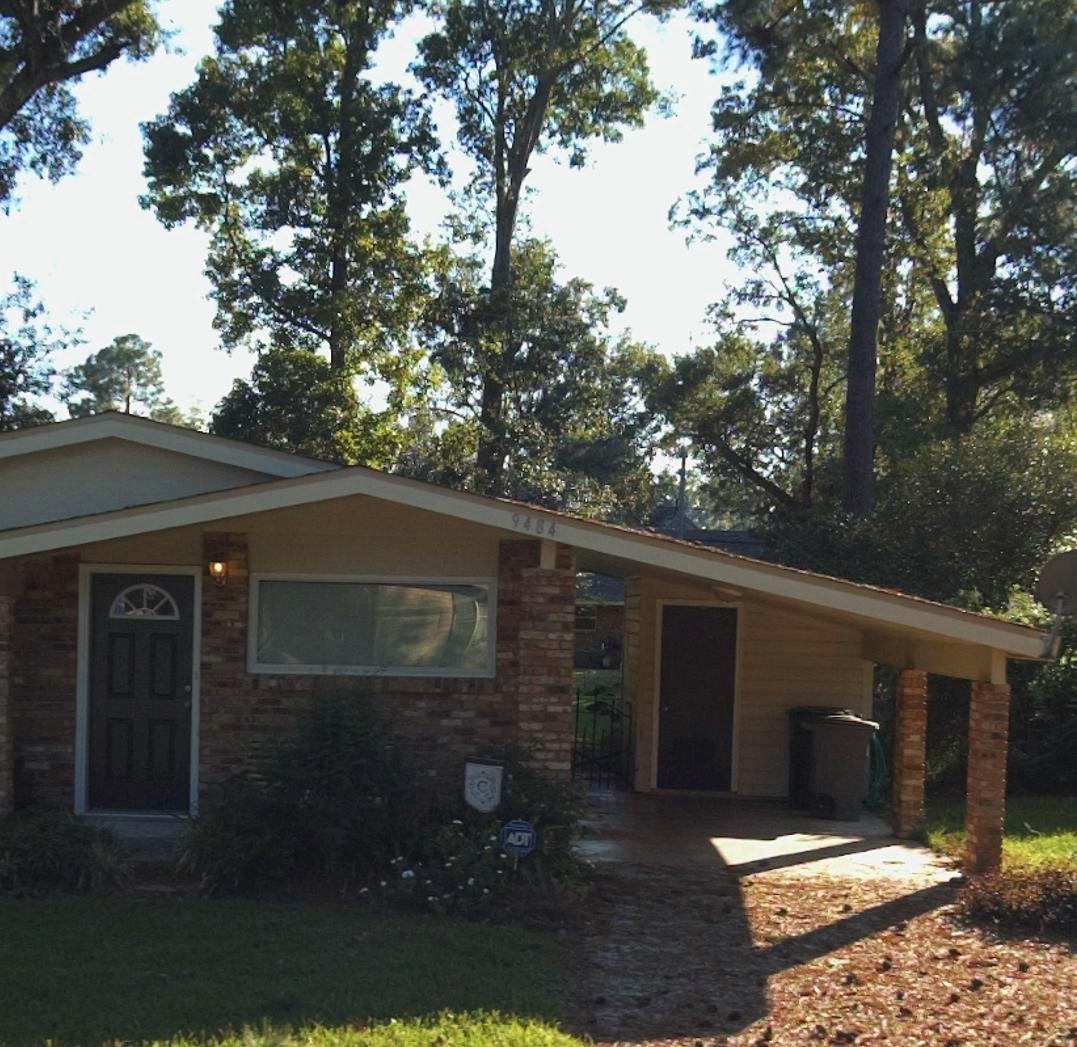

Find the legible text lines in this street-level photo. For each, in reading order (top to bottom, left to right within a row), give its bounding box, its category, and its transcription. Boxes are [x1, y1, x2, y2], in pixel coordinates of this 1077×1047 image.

[509, 512, 556, 538] StreetNumber: 9484
[503, 831, 532, 846] None: ADT